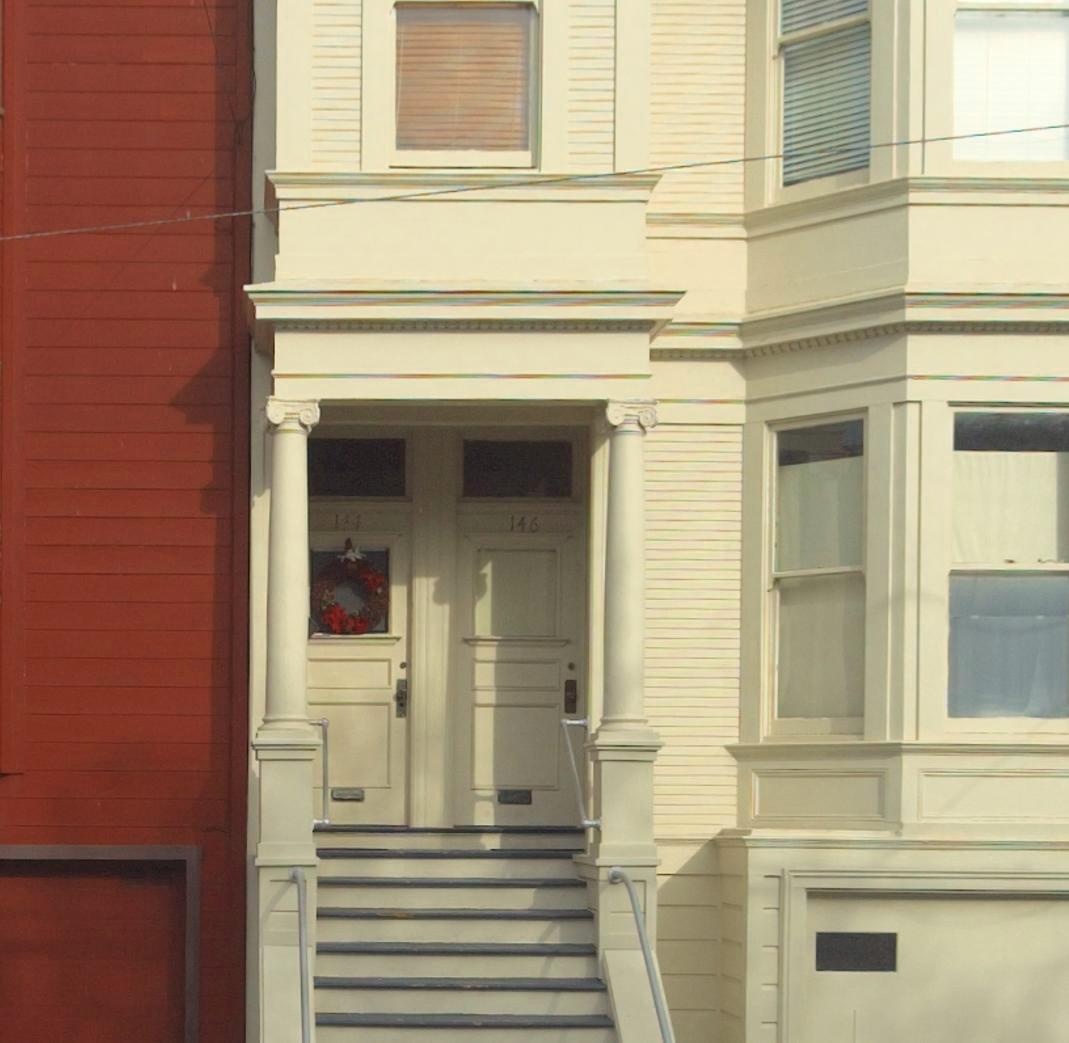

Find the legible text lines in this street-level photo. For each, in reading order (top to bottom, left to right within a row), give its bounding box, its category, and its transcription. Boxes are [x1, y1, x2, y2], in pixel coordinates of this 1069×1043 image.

[334, 513, 363, 532] StreetNumber: 144
[510, 514, 540, 533] StreetNumber: 146